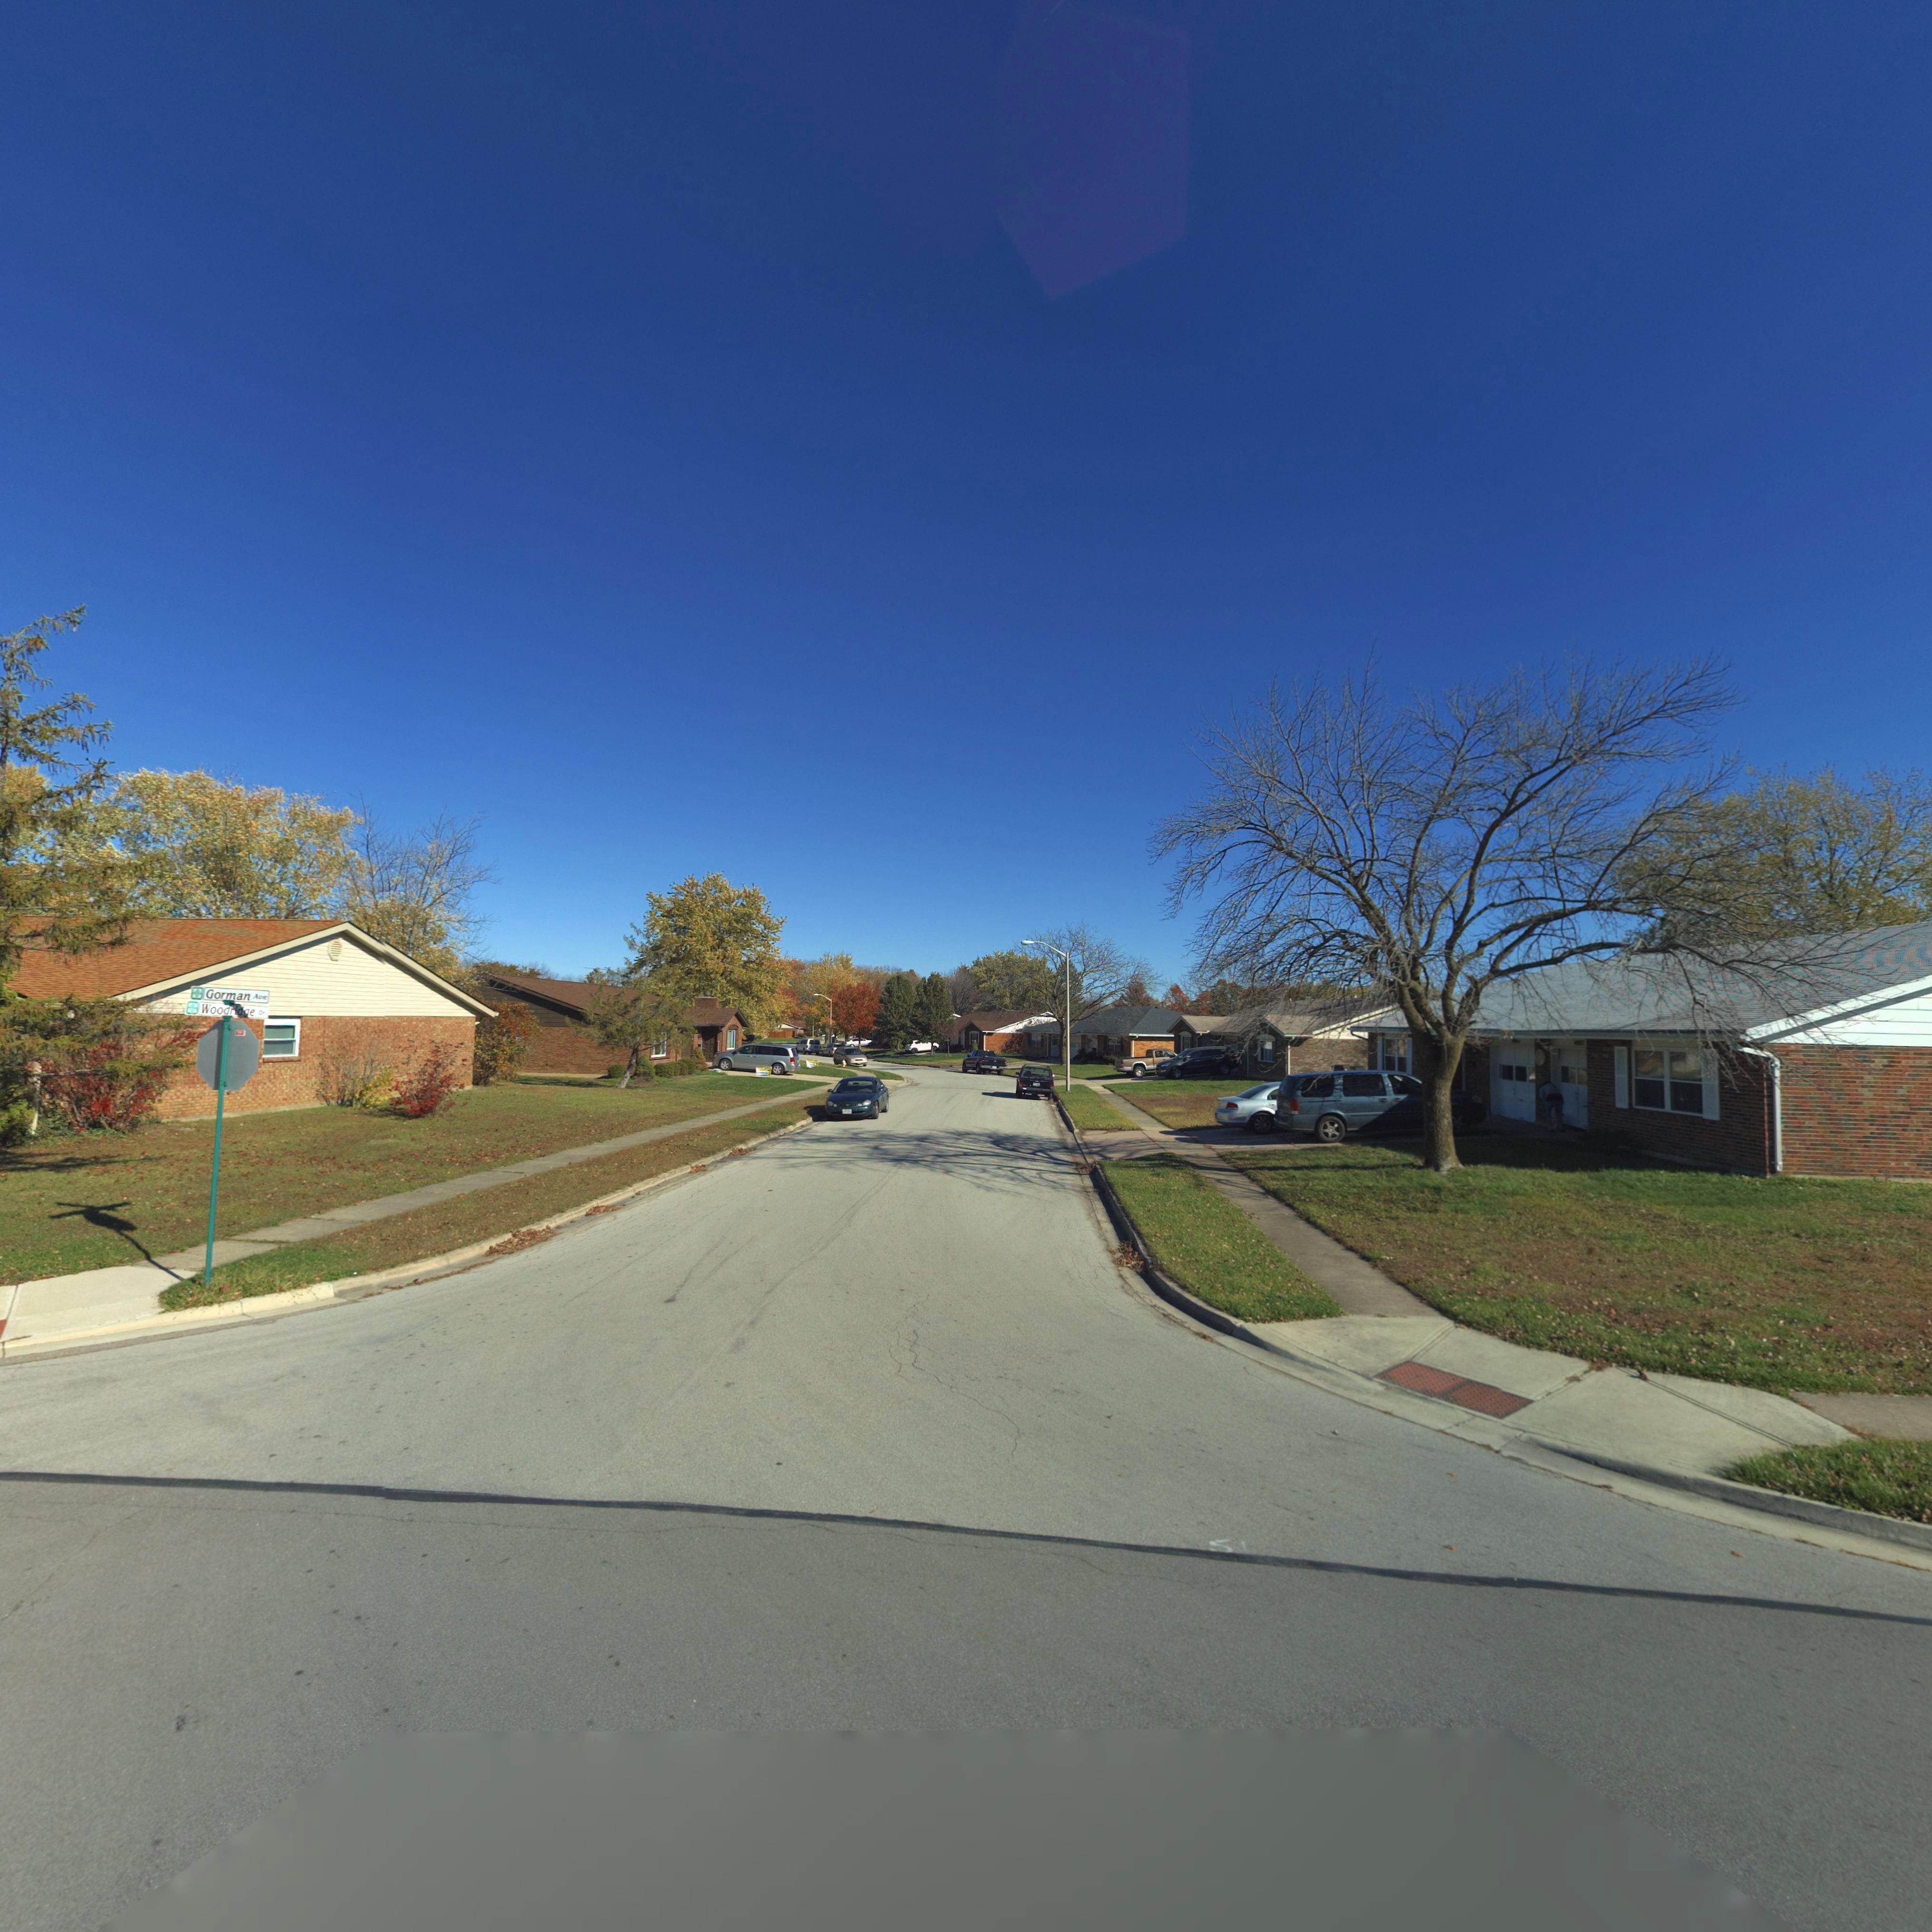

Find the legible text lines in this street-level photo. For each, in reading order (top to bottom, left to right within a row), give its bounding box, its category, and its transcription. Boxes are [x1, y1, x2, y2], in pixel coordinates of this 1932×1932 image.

[205, 988, 252, 1002] StreetName: Gorman
[201, 1003, 256, 1018] StreetName: Woodridge
[1573, 1040, 1585, 1045] StreetNumber: ***3